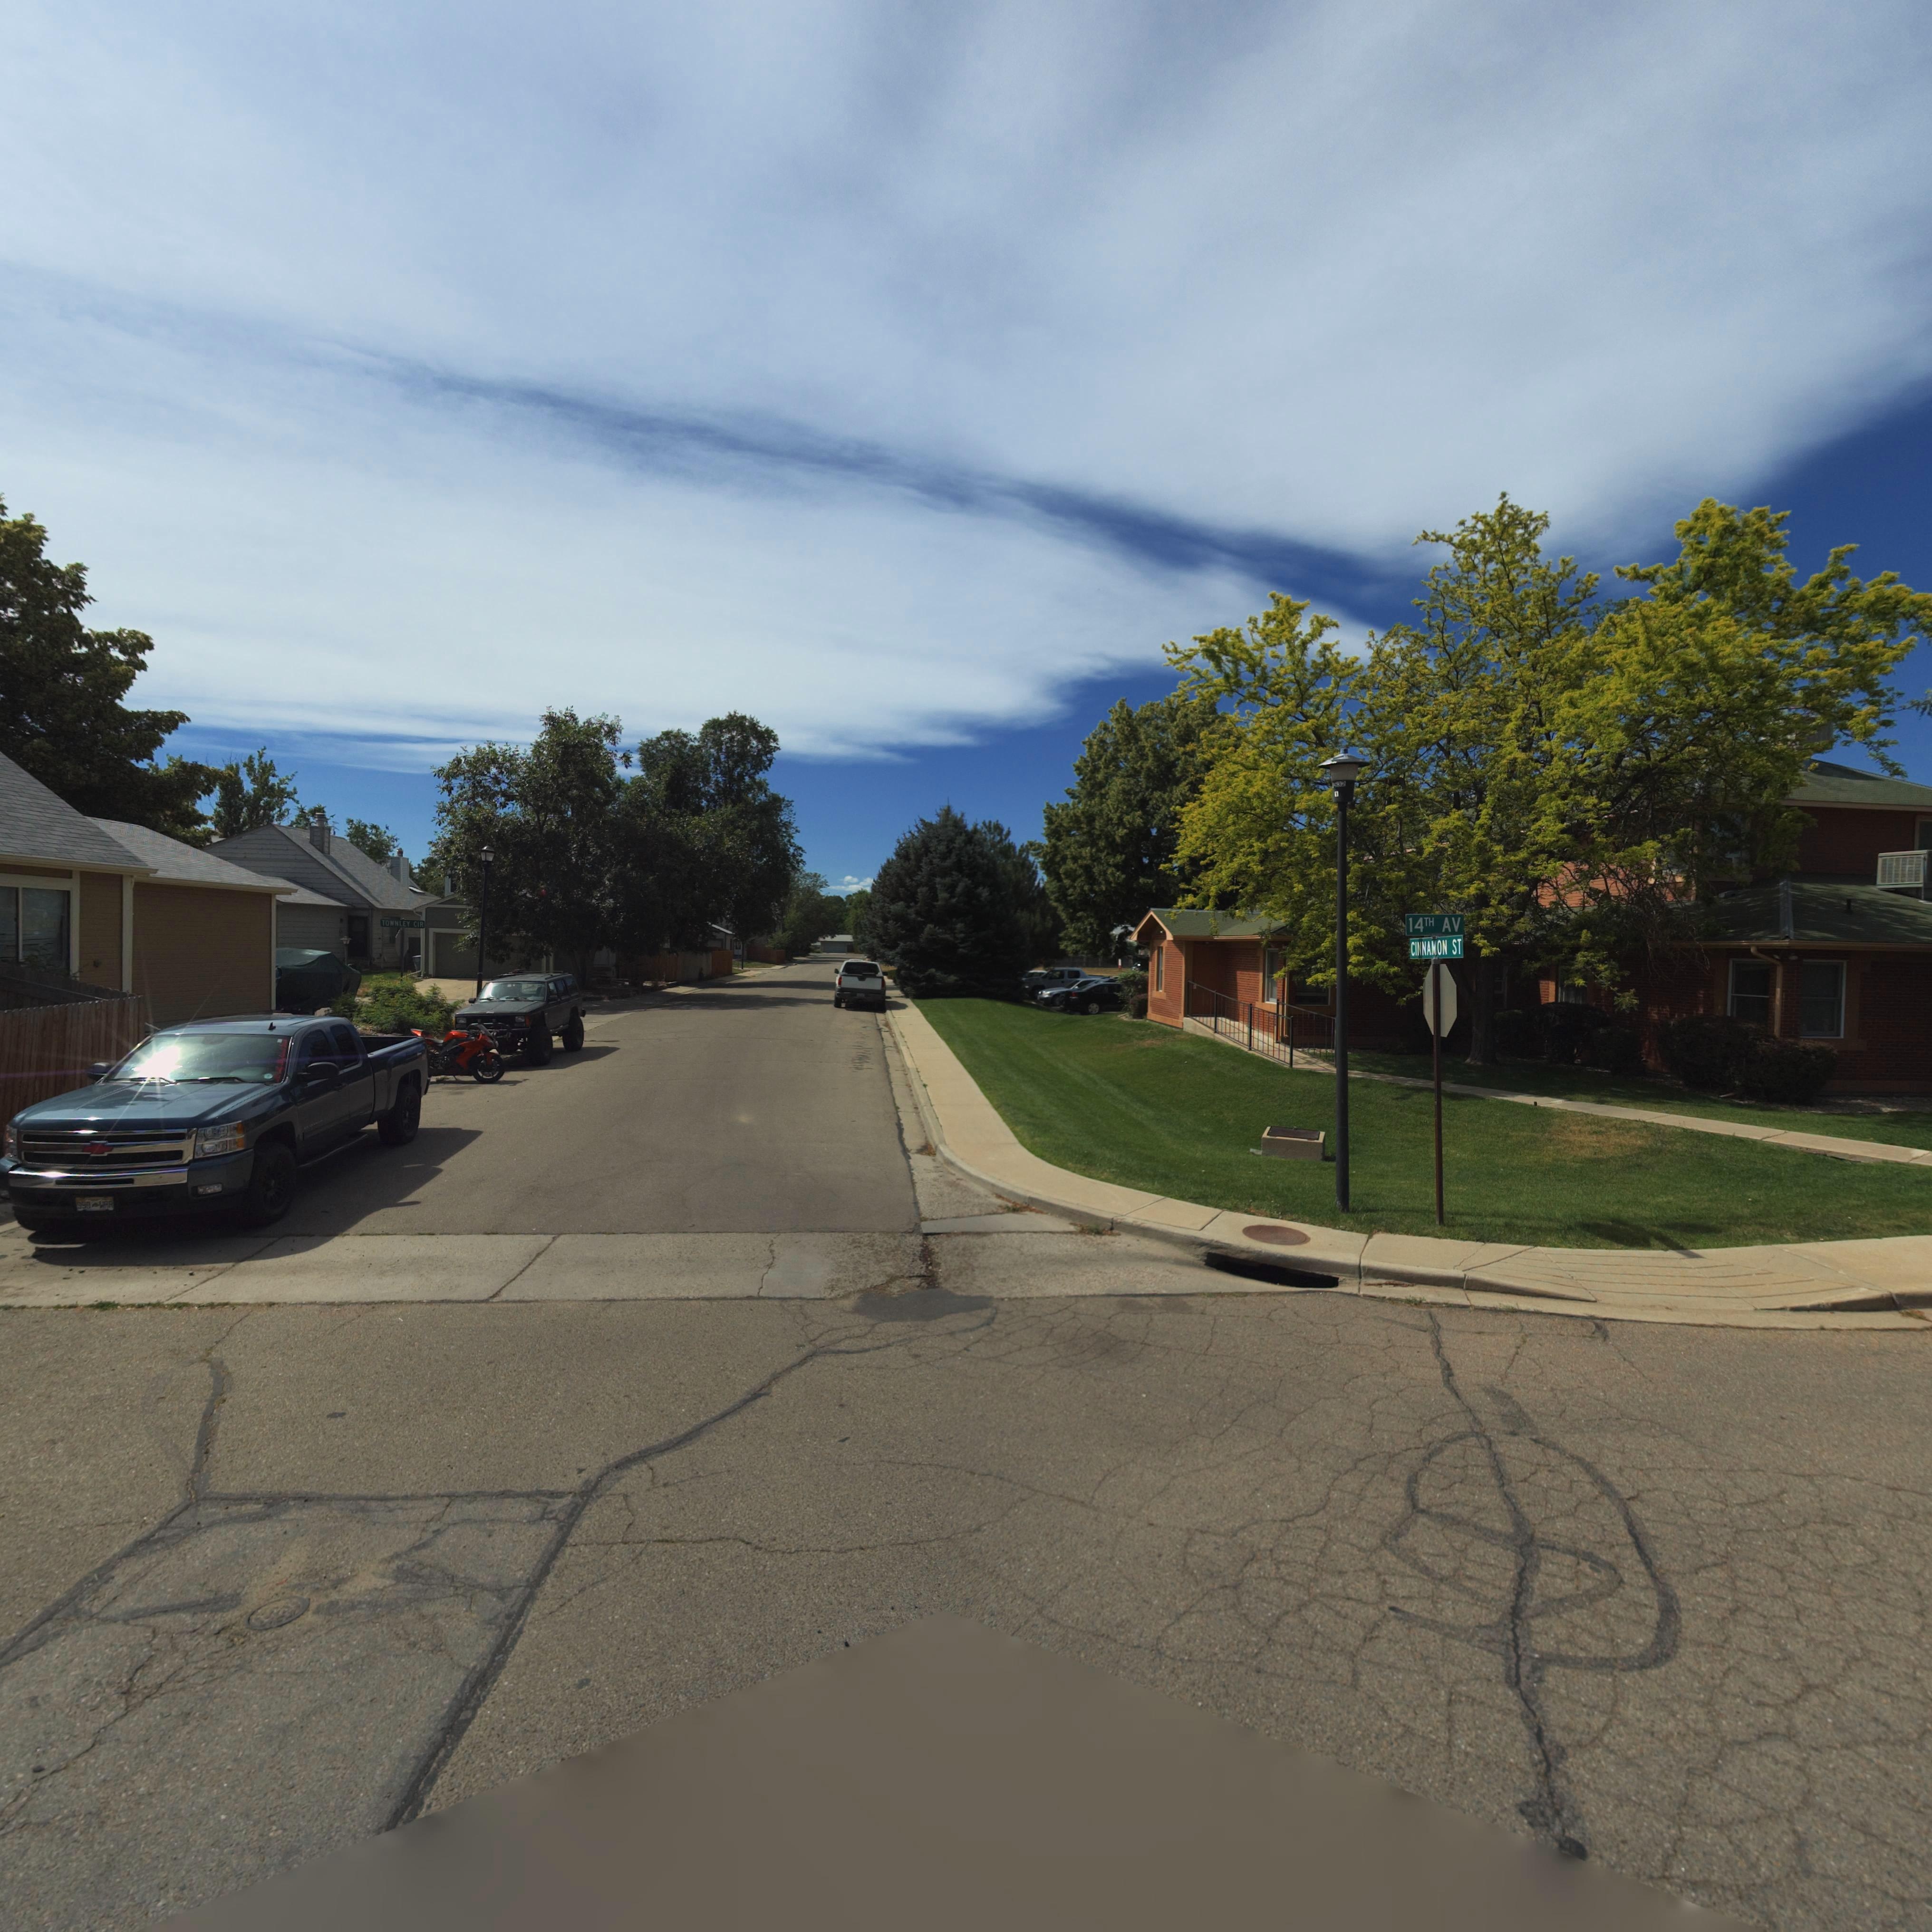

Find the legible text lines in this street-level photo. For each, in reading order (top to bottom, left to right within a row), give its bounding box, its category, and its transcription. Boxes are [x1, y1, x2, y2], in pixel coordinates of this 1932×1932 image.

[381, 919, 424, 928] StreetName: TOWNLEY CIR
[1408, 916, 1461, 932] StreetName: 14TH AV
[1410, 938, 1462, 956] StreetName: CINNAMON ST